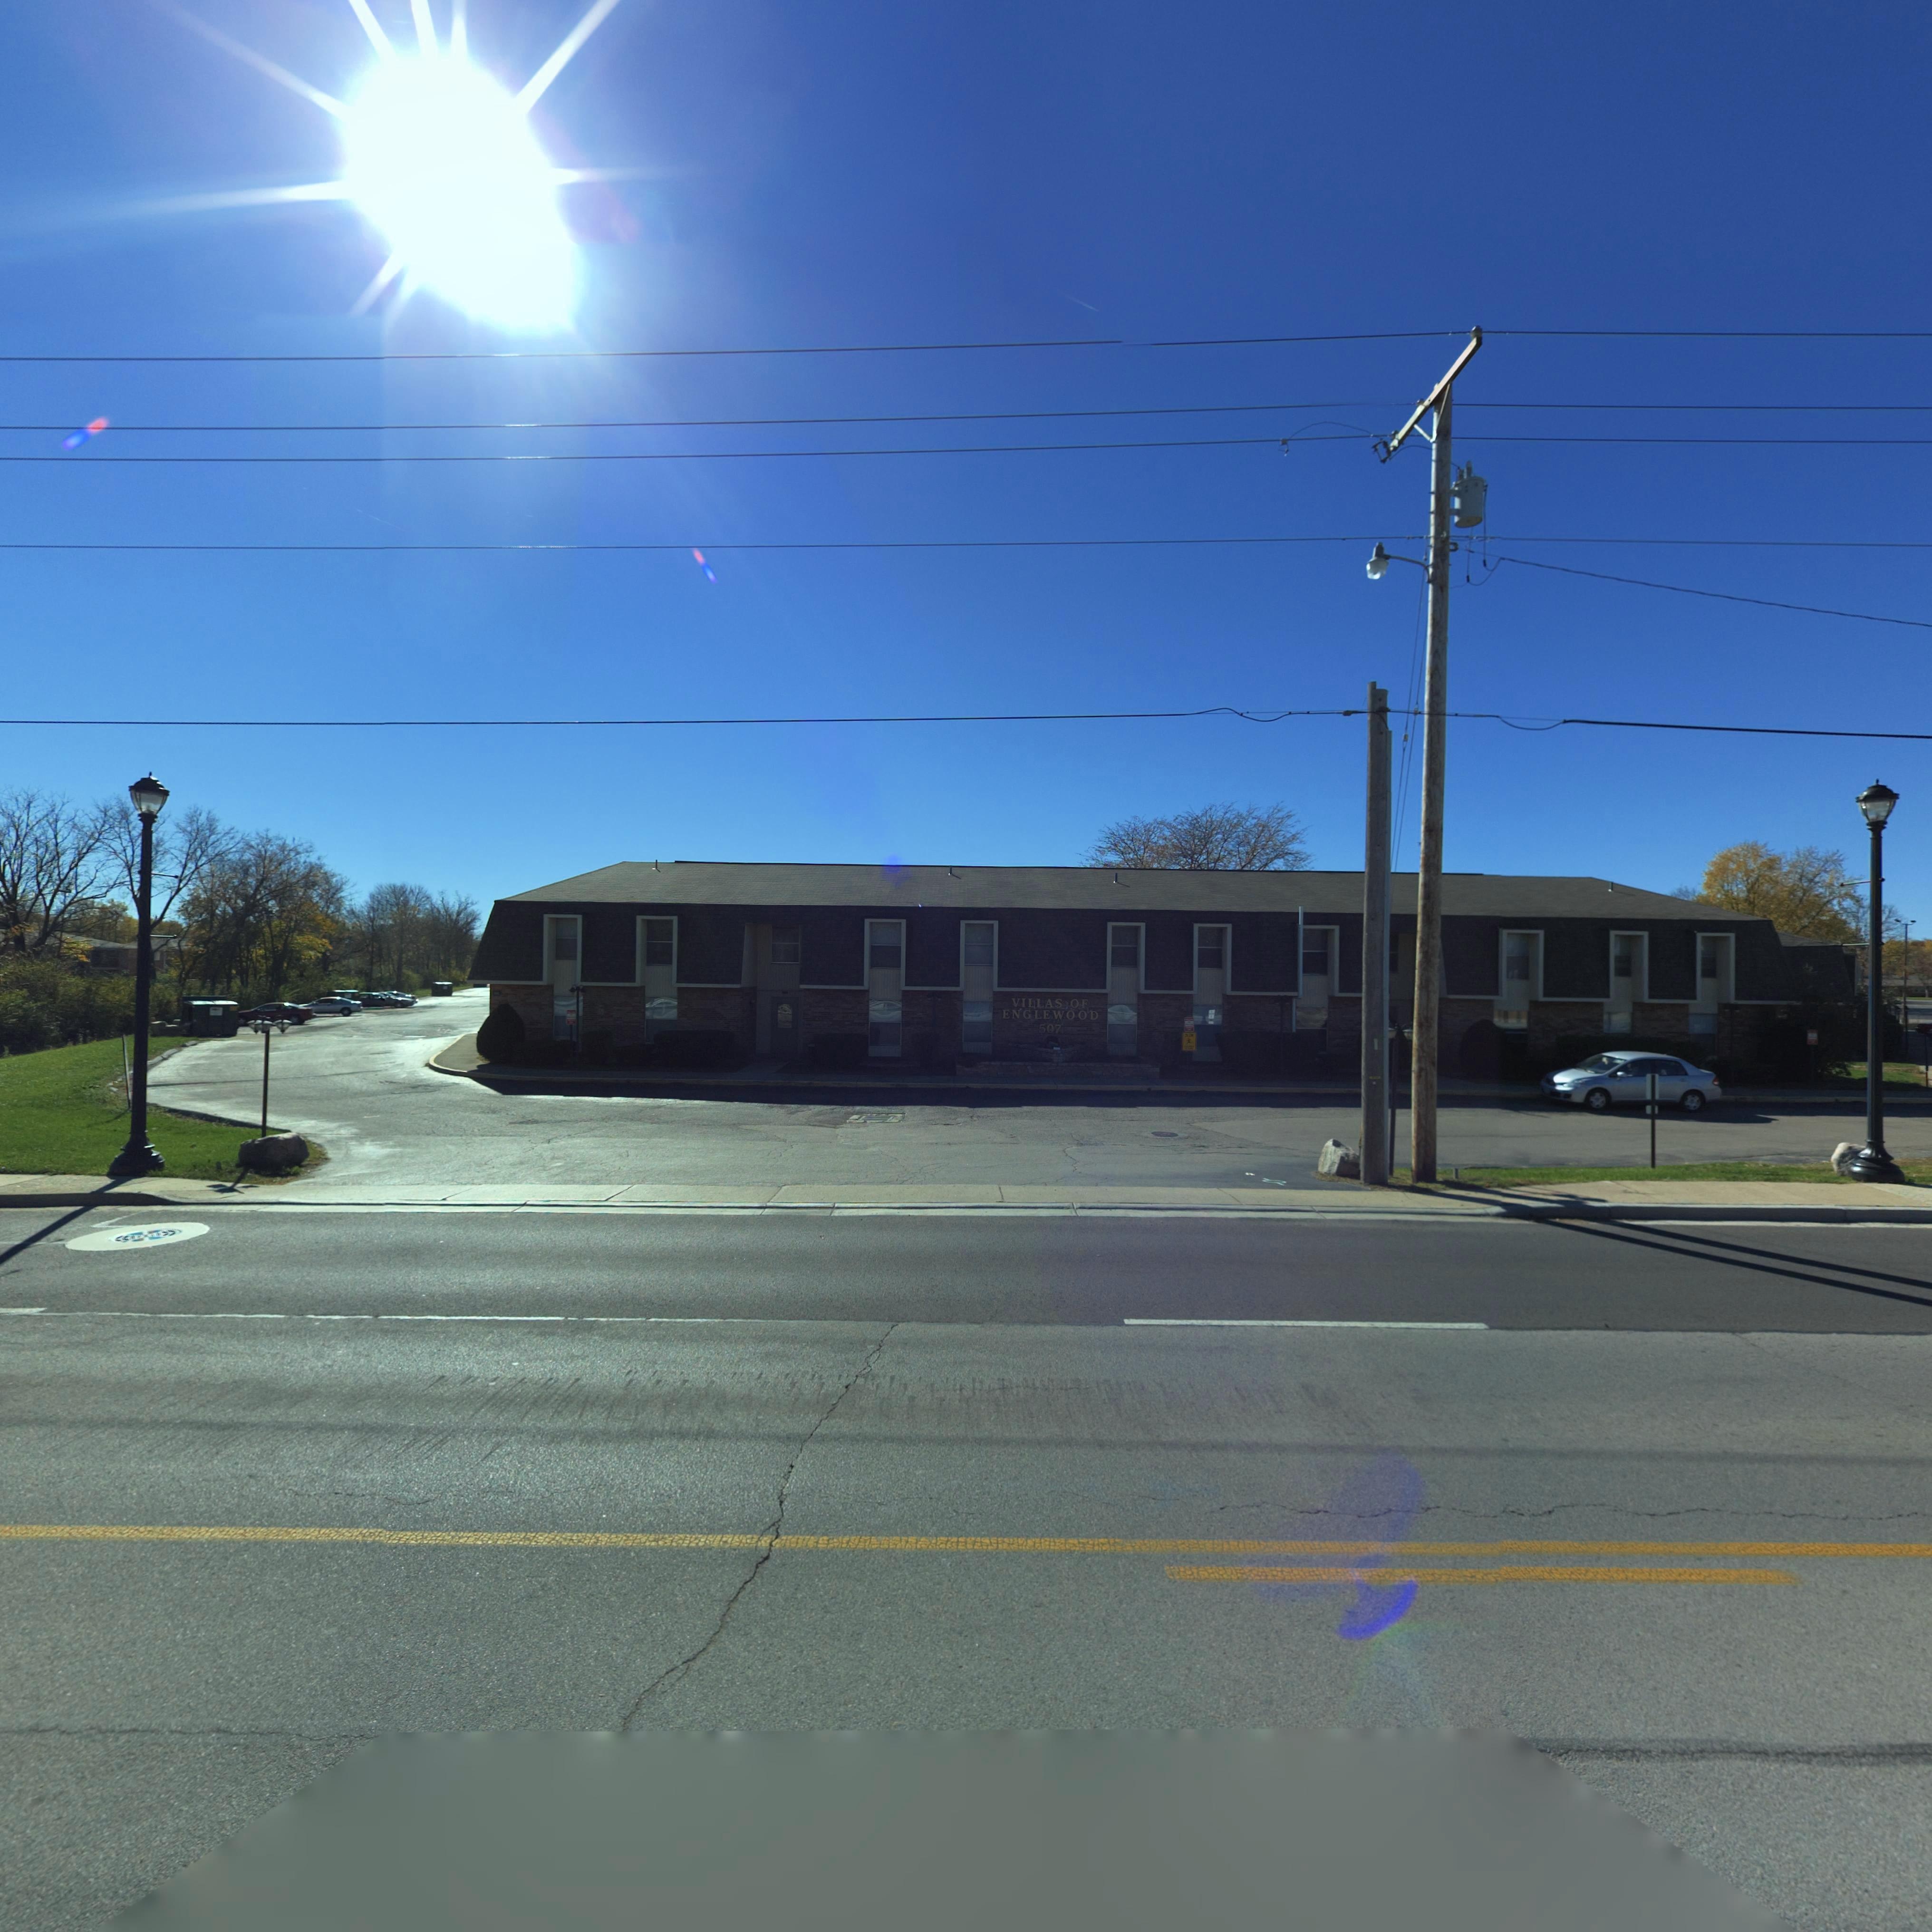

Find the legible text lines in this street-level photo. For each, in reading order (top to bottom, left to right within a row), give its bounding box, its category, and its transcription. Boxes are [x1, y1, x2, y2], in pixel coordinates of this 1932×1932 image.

[1011, 997, 1089, 1010] BusinessName: VILLAS OF
[1001, 1008, 1100, 1021] BusinessName: ENGLEWOOD
[1038, 1023, 1063, 1034] StreetNumber: 507
[1184, 1033, 1194, 1038] None: SLO*